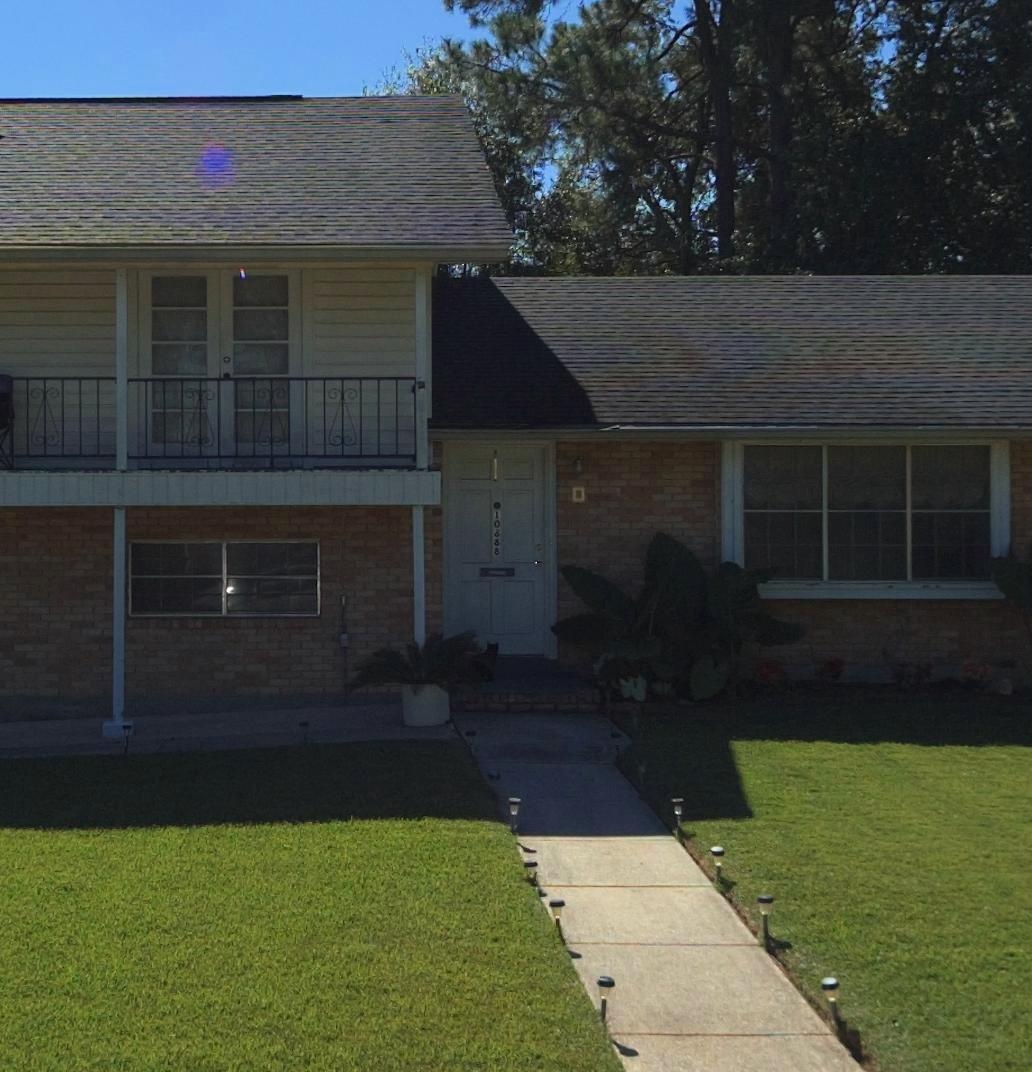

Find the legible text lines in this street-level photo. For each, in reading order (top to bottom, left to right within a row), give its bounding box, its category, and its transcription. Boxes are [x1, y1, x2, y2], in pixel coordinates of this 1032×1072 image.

[492, 510, 501, 557] StreetNumber: 10688